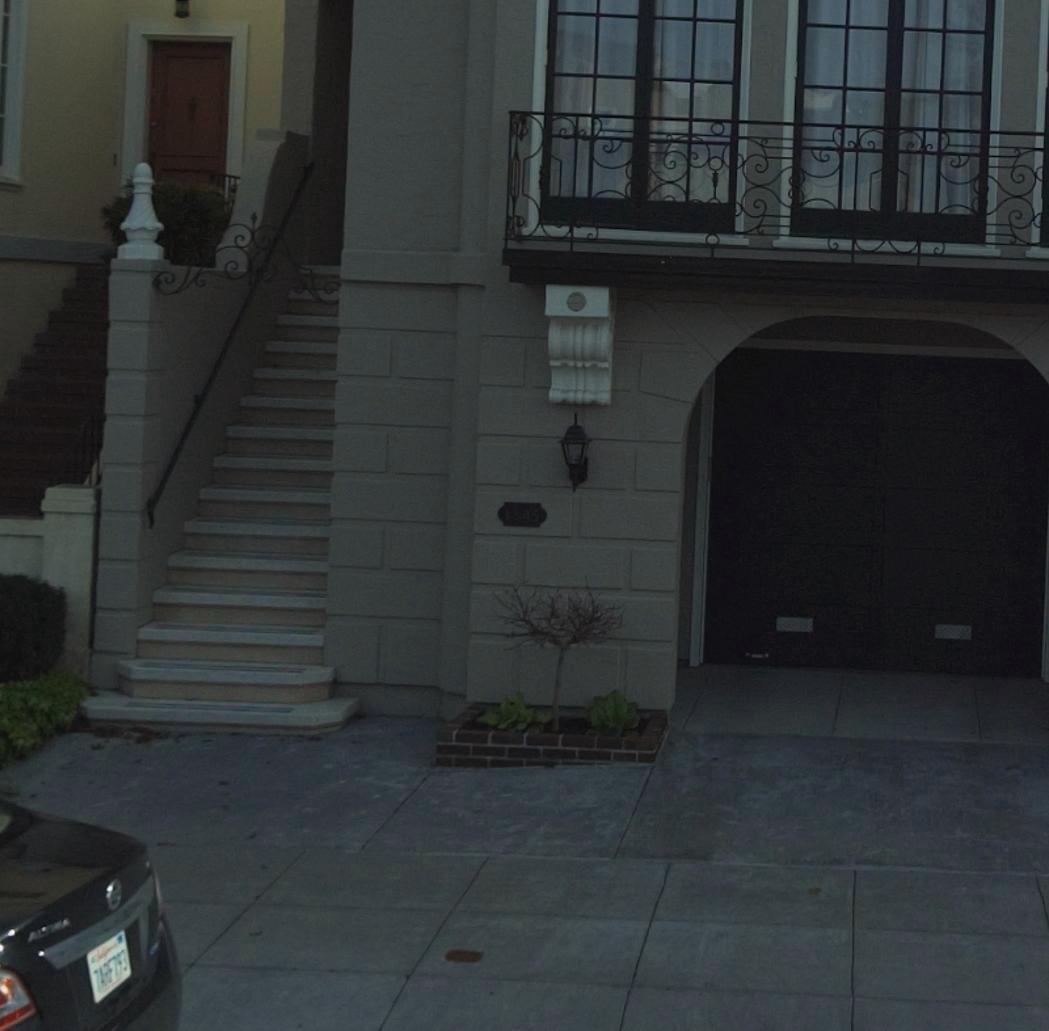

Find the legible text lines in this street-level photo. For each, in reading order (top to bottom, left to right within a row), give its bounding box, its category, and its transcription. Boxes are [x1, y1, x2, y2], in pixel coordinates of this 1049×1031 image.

[502, 506, 544, 525] StreetNumber: 1*45